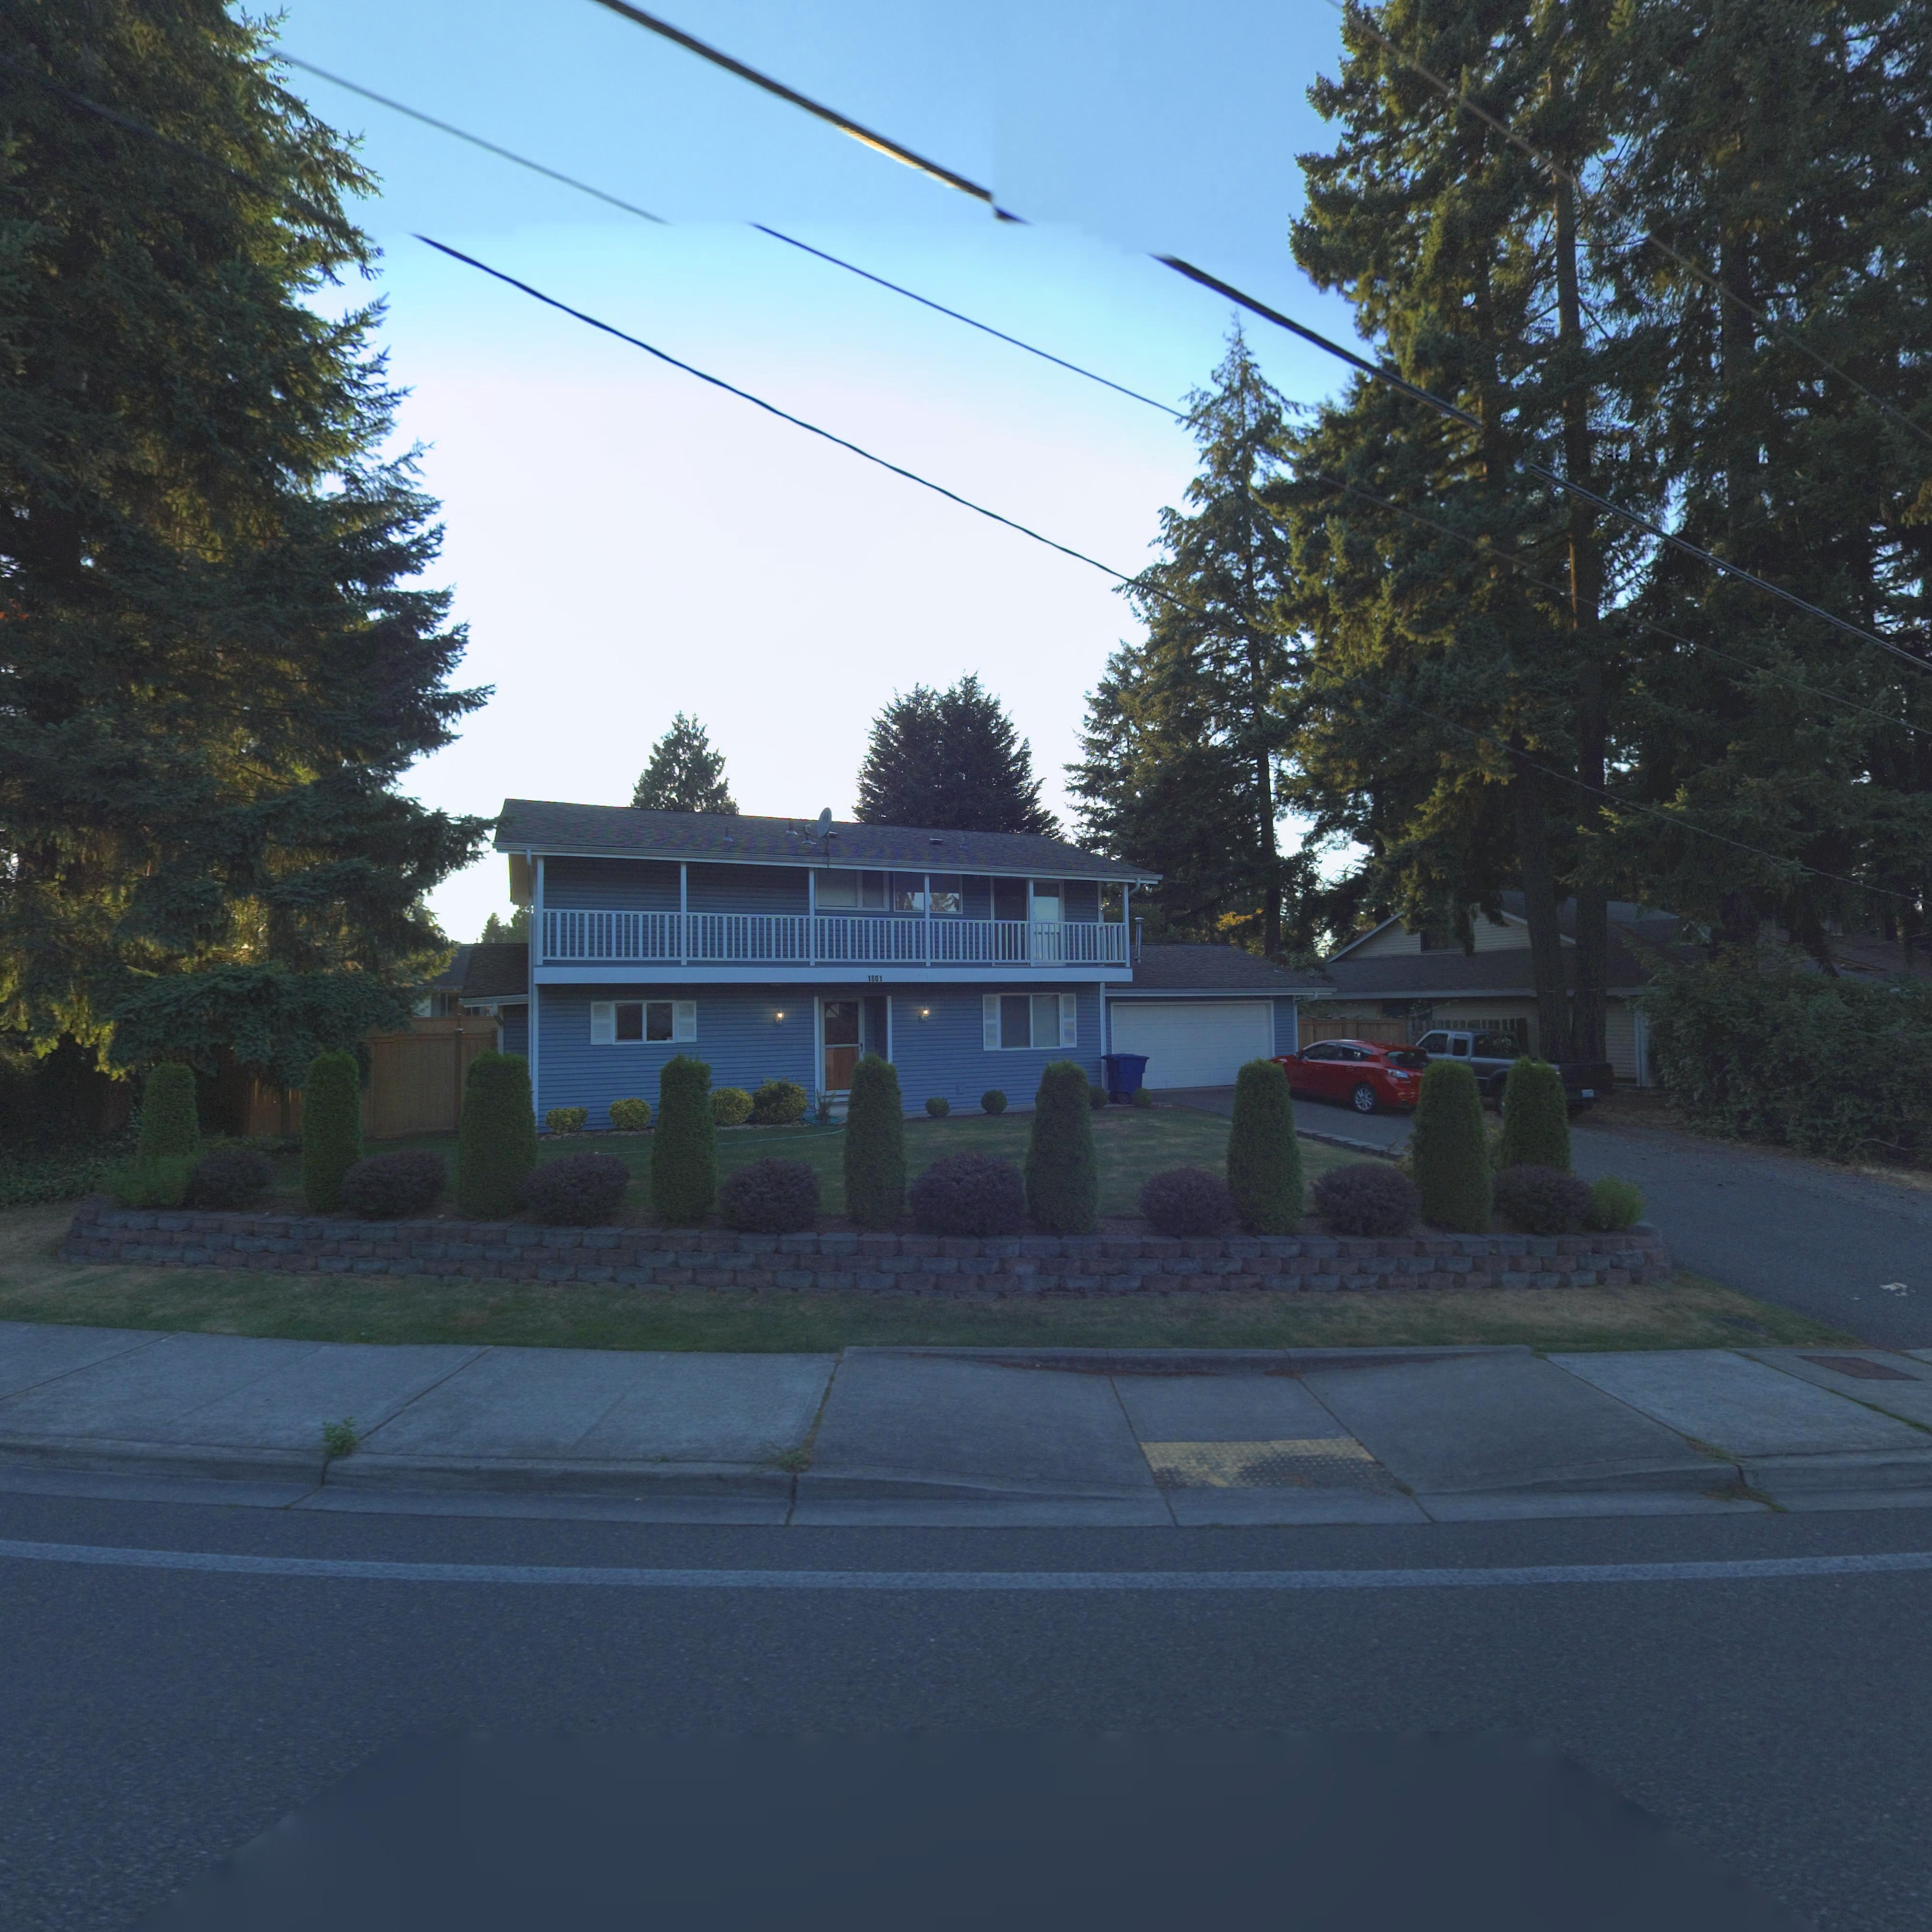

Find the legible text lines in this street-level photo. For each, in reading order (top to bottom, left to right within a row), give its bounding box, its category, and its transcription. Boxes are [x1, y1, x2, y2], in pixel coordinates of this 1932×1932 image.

[868, 975, 882, 982] StreetNumber: 1801